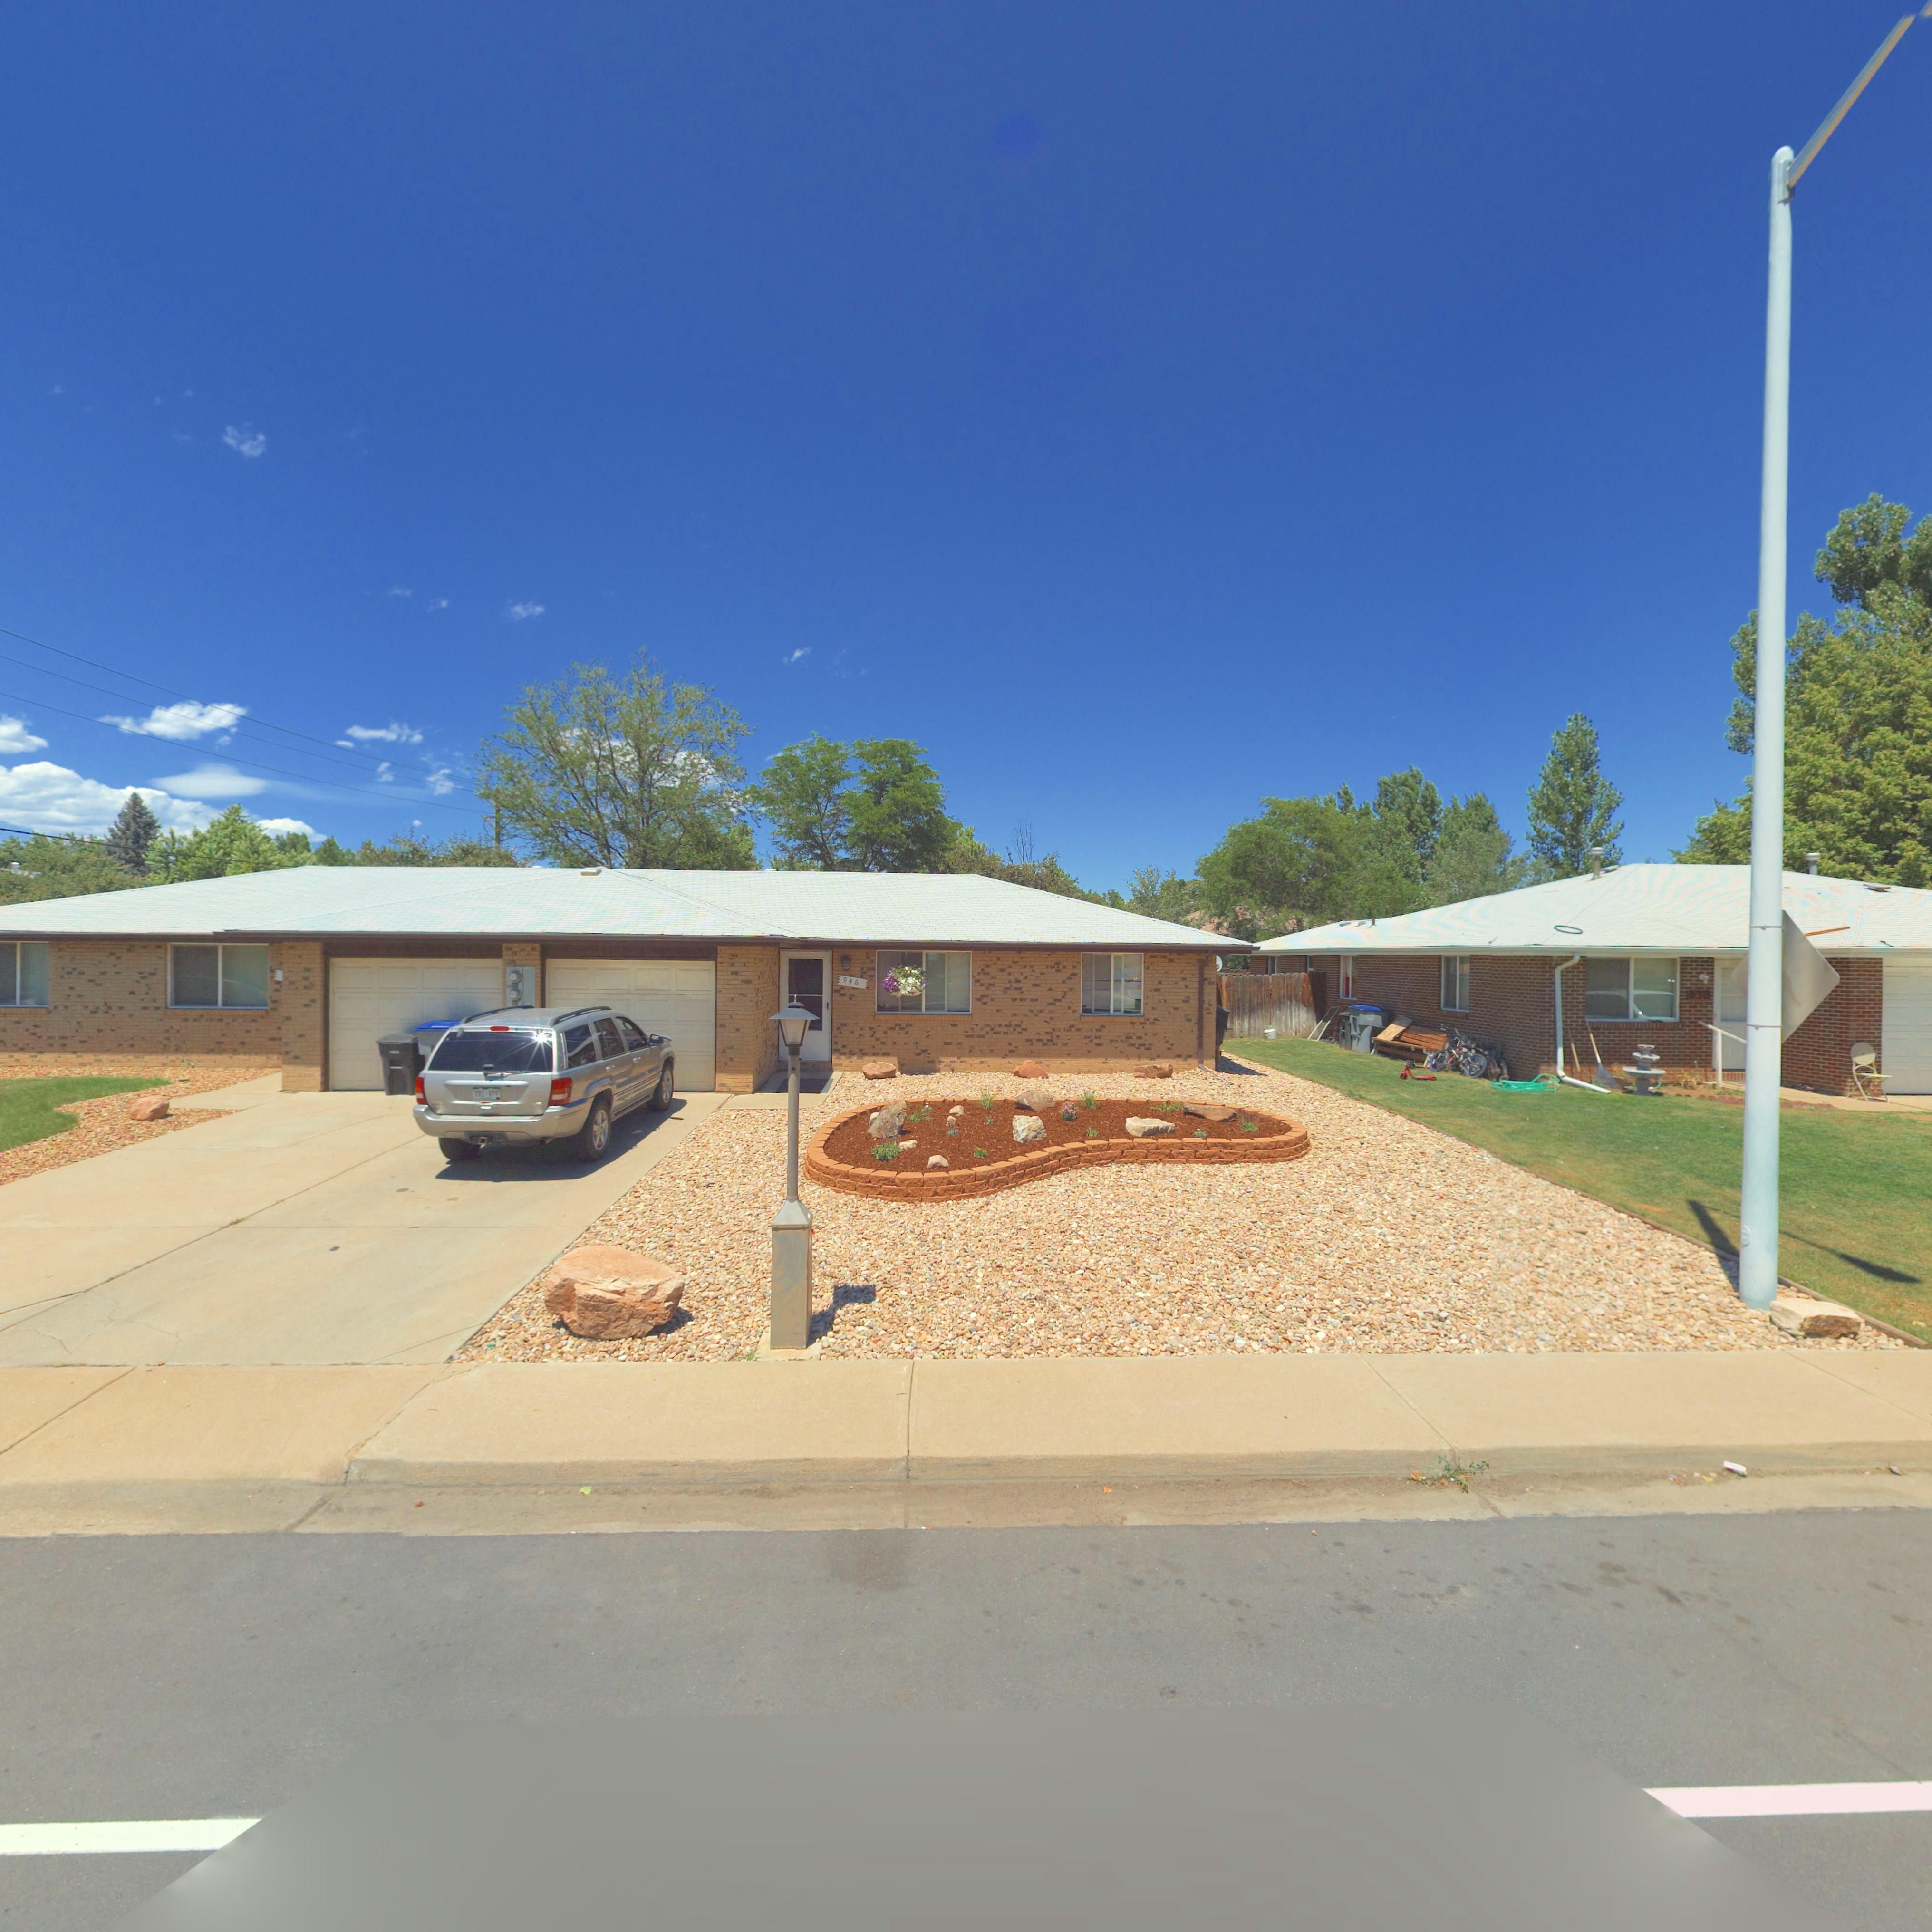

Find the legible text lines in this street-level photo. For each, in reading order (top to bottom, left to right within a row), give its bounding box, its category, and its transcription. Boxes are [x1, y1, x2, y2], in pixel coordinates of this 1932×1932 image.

[843, 976, 859, 985] StreetNumber: 946
[1688, 990, 1712, 1000] StreetNumber: *38